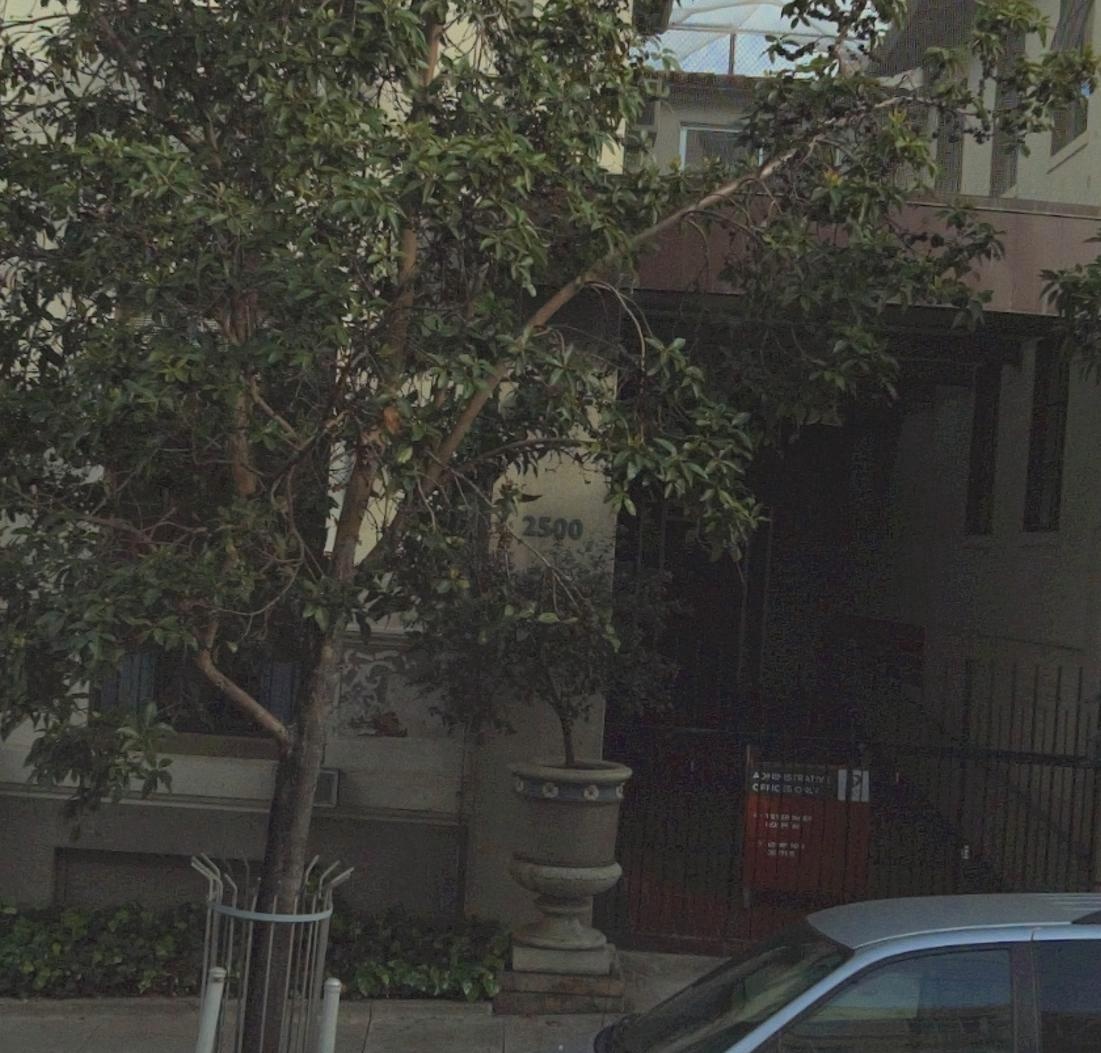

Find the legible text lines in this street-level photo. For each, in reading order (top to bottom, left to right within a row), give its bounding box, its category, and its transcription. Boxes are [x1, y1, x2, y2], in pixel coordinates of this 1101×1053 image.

[521, 513, 584, 542] StreetNumber: 2500